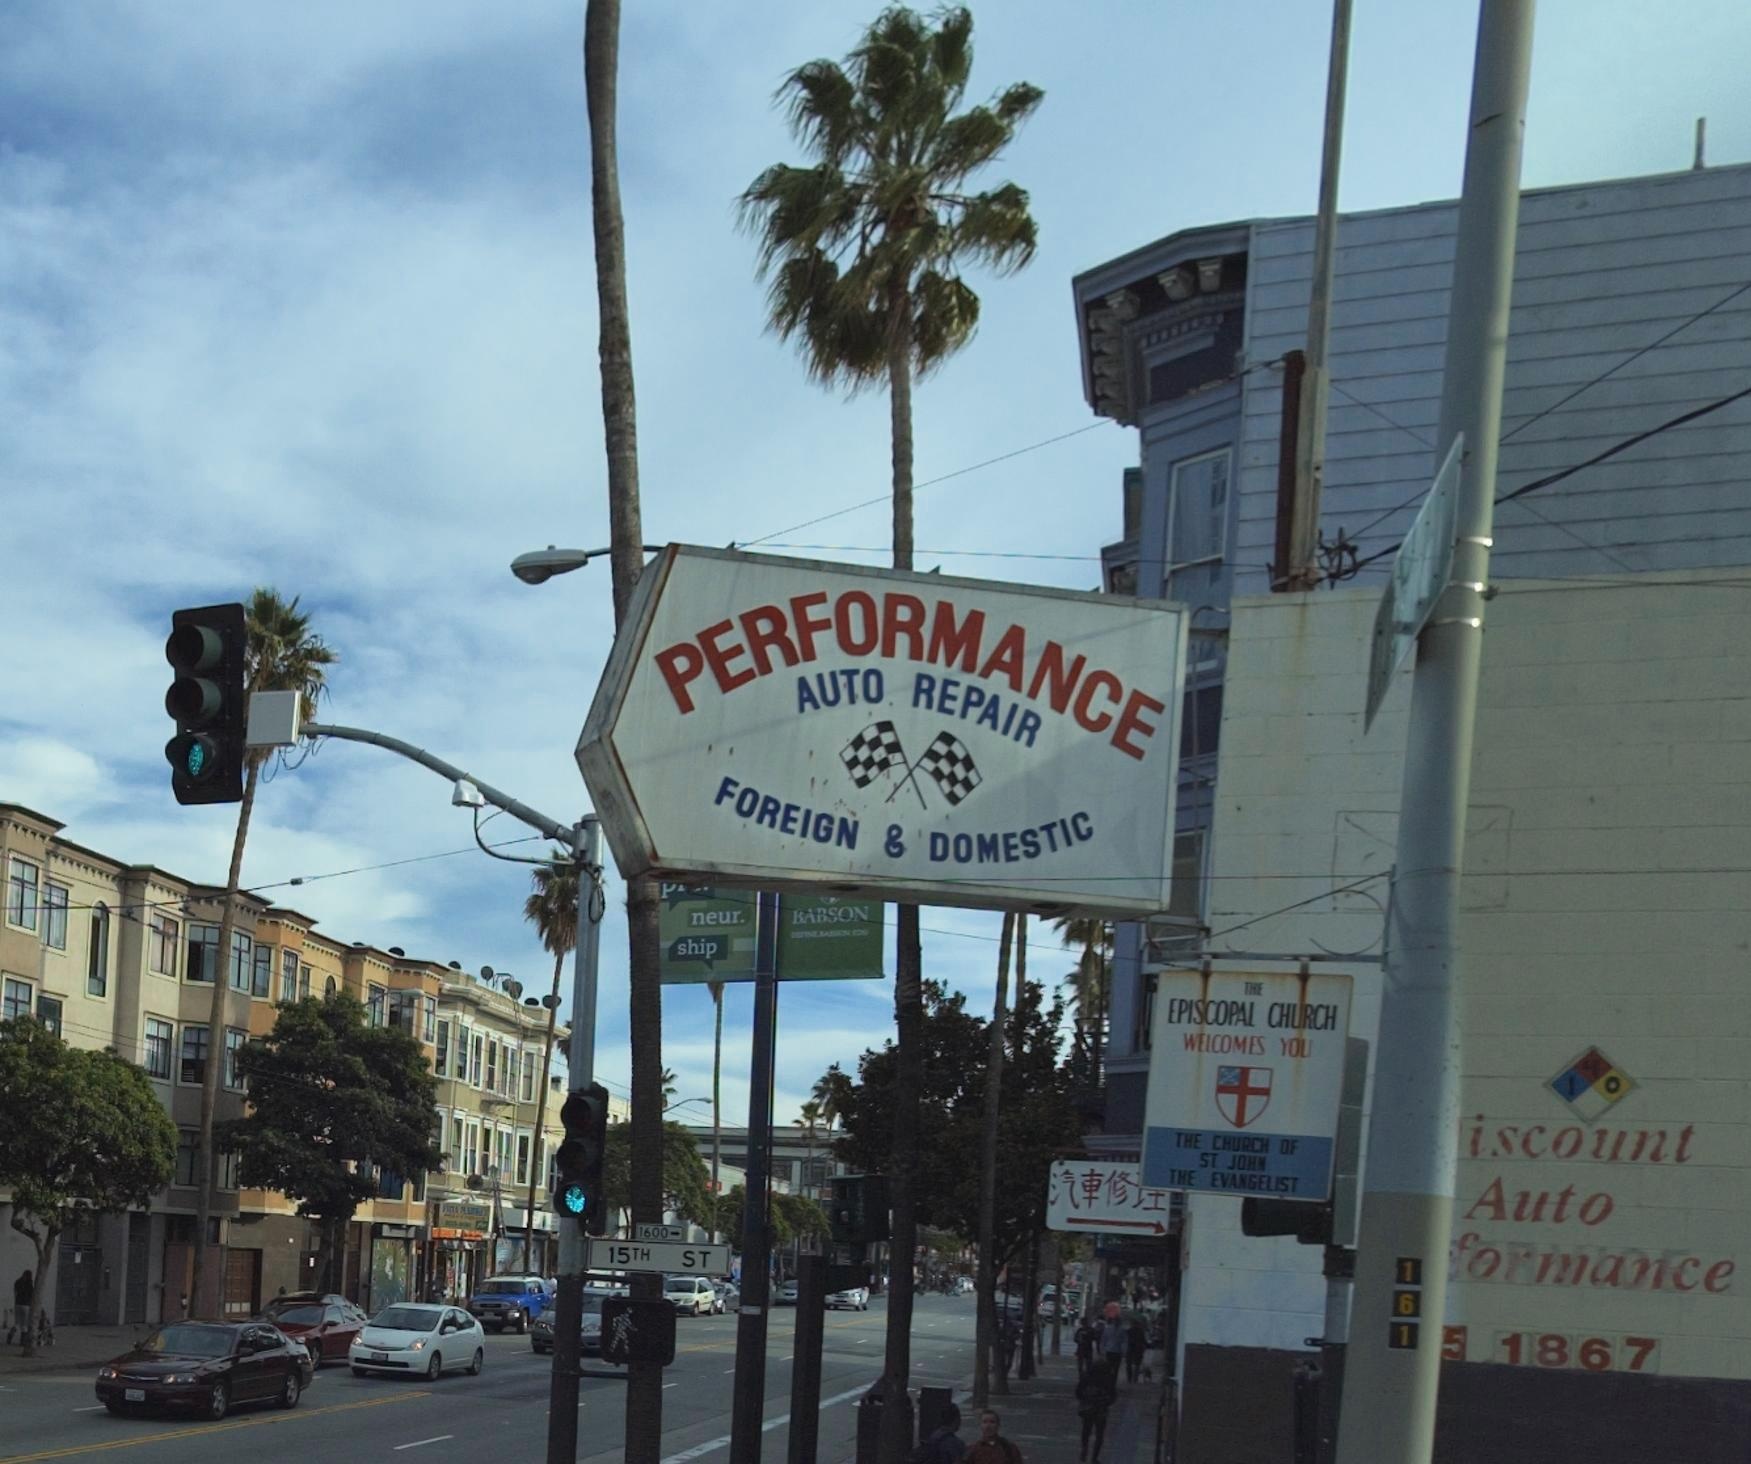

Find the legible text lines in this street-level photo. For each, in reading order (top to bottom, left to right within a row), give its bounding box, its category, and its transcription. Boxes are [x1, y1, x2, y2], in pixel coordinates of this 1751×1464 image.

[644, 583, 1174, 766] BusinessName: PERFORMANCE
[790, 663, 1049, 753] BusinessName: AUTO REPAIR
[705, 769, 1098, 869] BusinessName: FOREIGN & DOMESTIC
[688, 907, 748, 928] None: neur.
[789, 902, 872, 928] None: BABSON
[675, 936, 720, 963] None: ship
[1240, 978, 1267, 998] None: THE
[1164, 994, 1341, 1034] None: EPISCOPAL CHURCH
[1178, 1028, 1318, 1061] None: WELCOMES YOU
[1565, 1073, 1579, 1097] None: I
[1580, 1056, 1602, 1083] None: 4
[1601, 1073, 1624, 1096] None: O
[1170, 1129, 1304, 1158] None: THE CHURCH OF
[1461, 1108, 1706, 1170] None: iscount
[1196, 1149, 1270, 1174] None: ST JOHN
[1165, 1165, 1304, 1196] None: THE EVANGELIST
[1452, 1168, 1630, 1232] None: Auto
[637, 1223, 682, 1240] StreetNumberRange: 1600 *
[606, 1243, 714, 1271] StreetName: 15TH ST
[1445, 1223, 1740, 1299] None: formance
[1394, 1257, 1420, 1349] None: 161
[1435, 1319, 1664, 1377] None: 5 1867